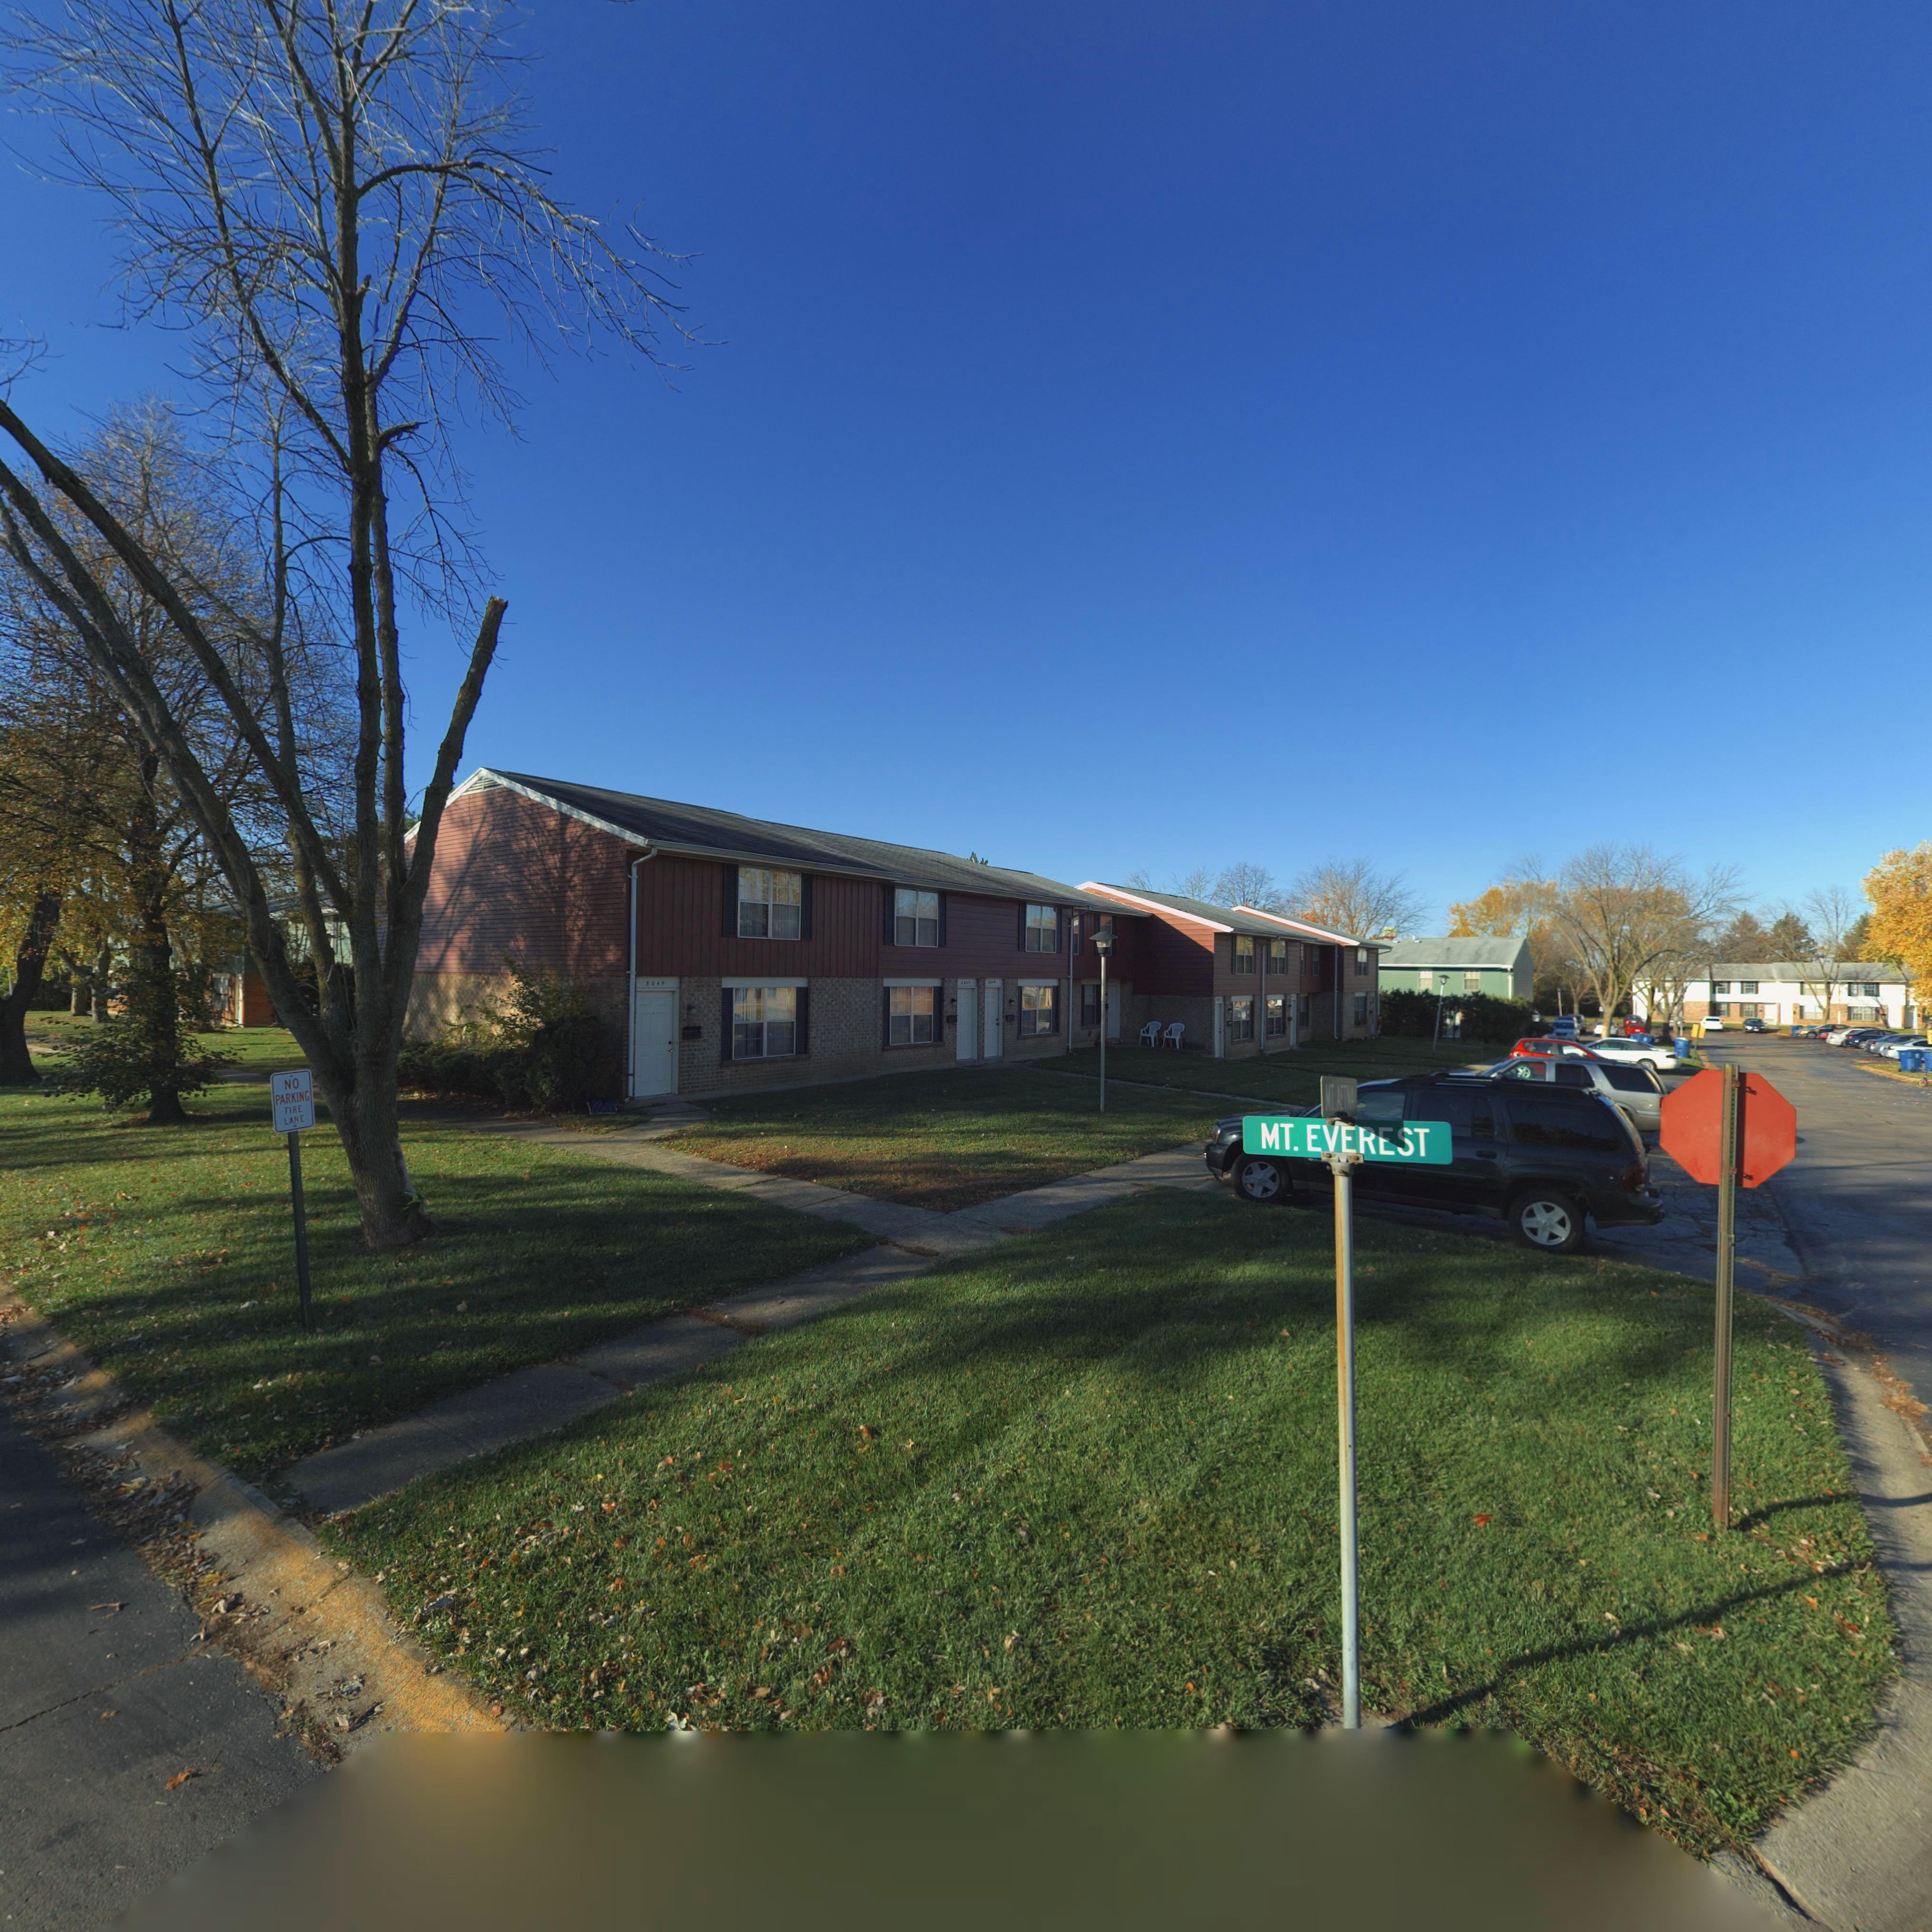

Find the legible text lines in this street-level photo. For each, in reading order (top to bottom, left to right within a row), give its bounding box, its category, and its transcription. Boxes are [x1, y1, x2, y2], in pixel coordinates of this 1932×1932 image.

[645, 980, 666, 988] StreetNumber: *045
[281, 1077, 300, 1091] None: NO
[272, 1089, 312, 1106] None: PARKING
[1323, 1079, 1359, 1115] None: MT. AETNA
[283, 1104, 303, 1115] None: FIRE
[282, 1113, 307, 1126] None: LANE
[1258, 1119, 1435, 1162] None: MT. EVEREST